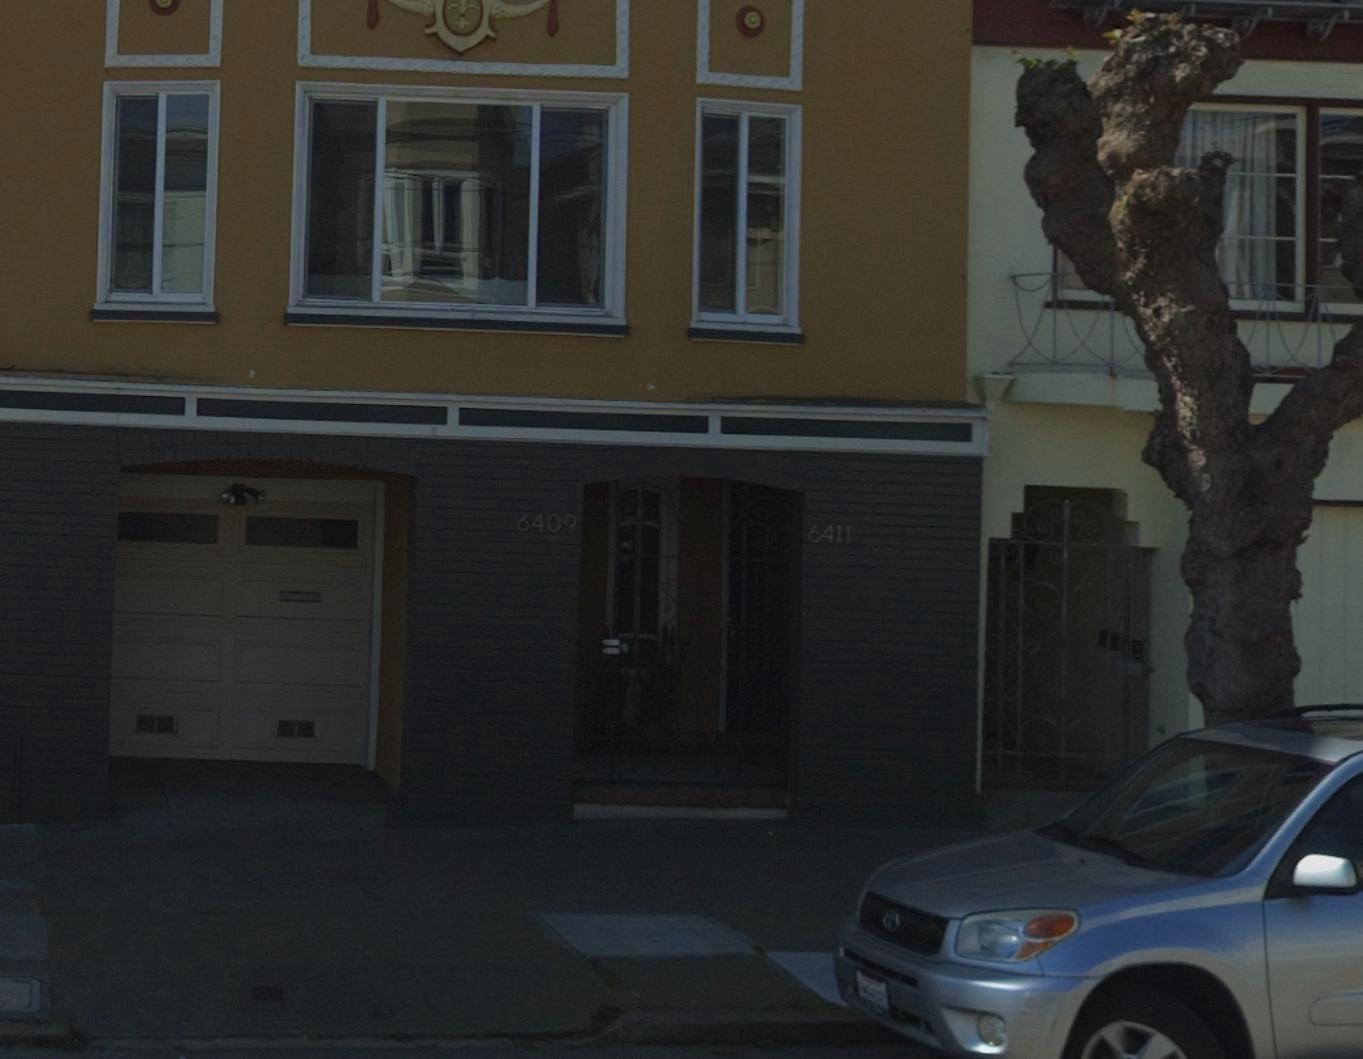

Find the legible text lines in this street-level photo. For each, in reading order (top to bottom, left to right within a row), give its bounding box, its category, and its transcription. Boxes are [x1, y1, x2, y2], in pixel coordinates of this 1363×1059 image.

[515, 511, 577, 536] StreetNumber: 6409
[807, 522, 852, 546] StreetNumber: 6411